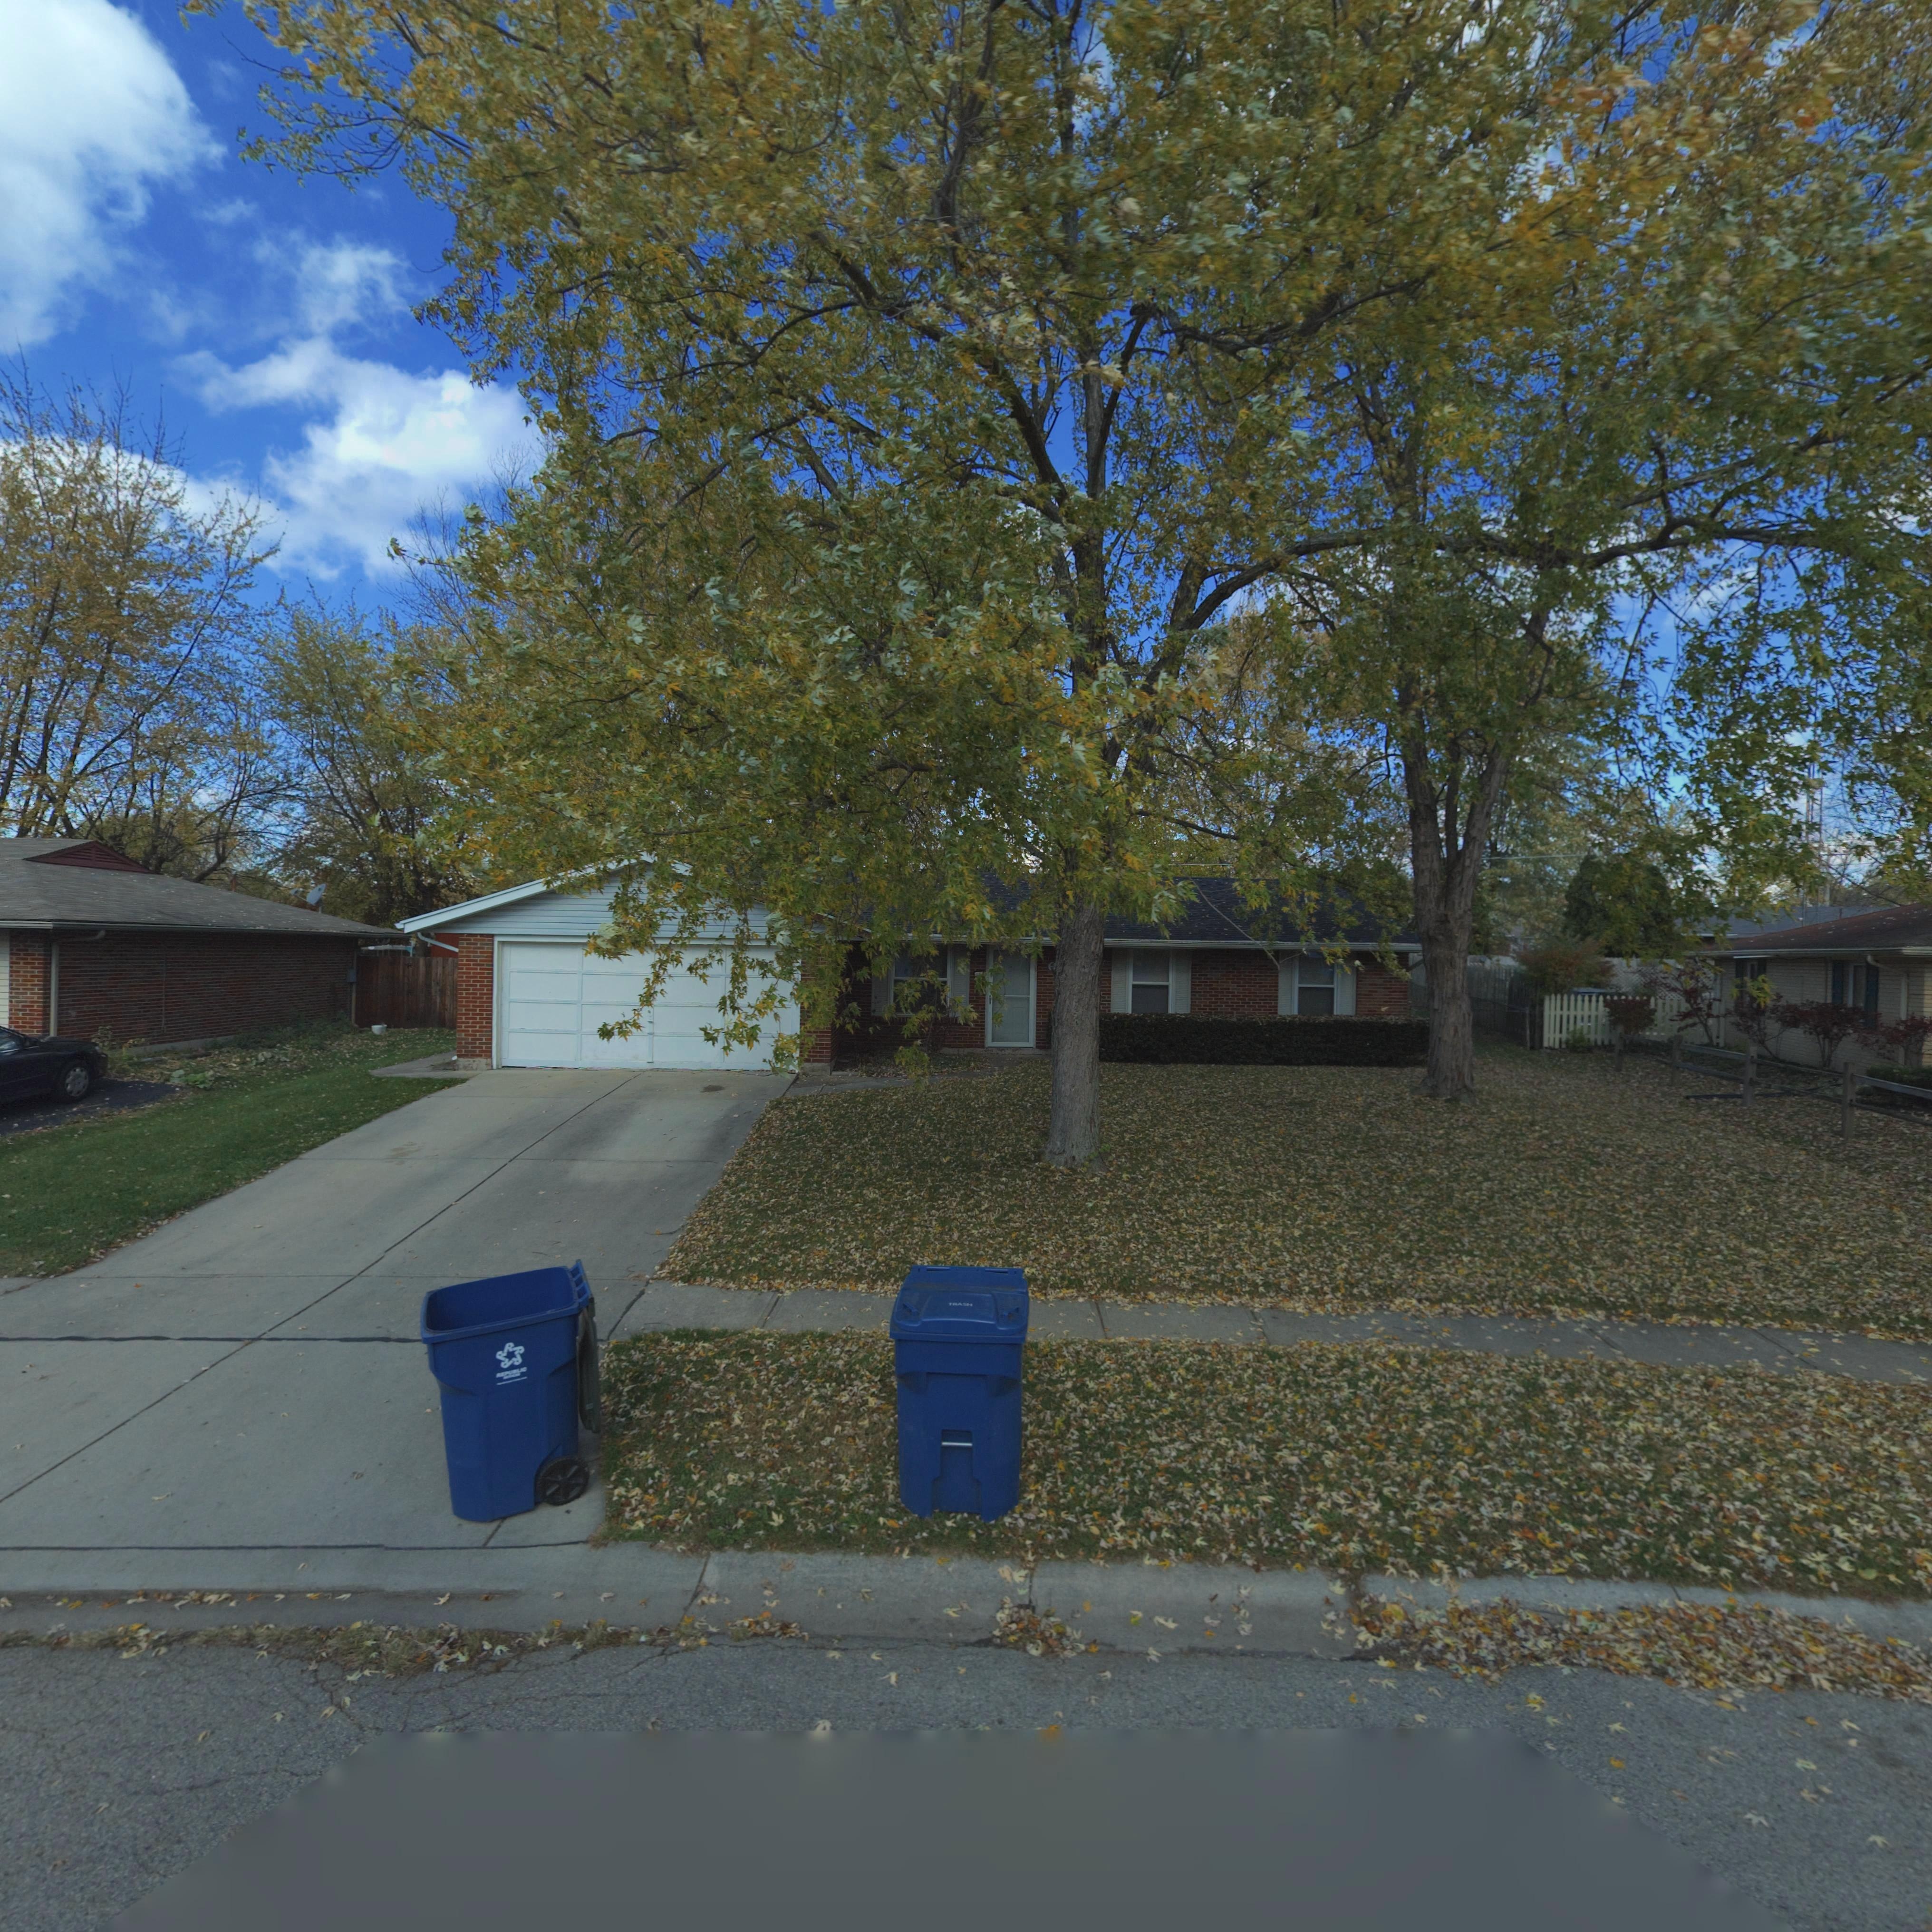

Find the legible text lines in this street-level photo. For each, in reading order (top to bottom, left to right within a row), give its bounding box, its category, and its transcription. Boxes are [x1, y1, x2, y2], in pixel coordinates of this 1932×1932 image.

[1048, 962, 1056, 971] StreetNumber: 6